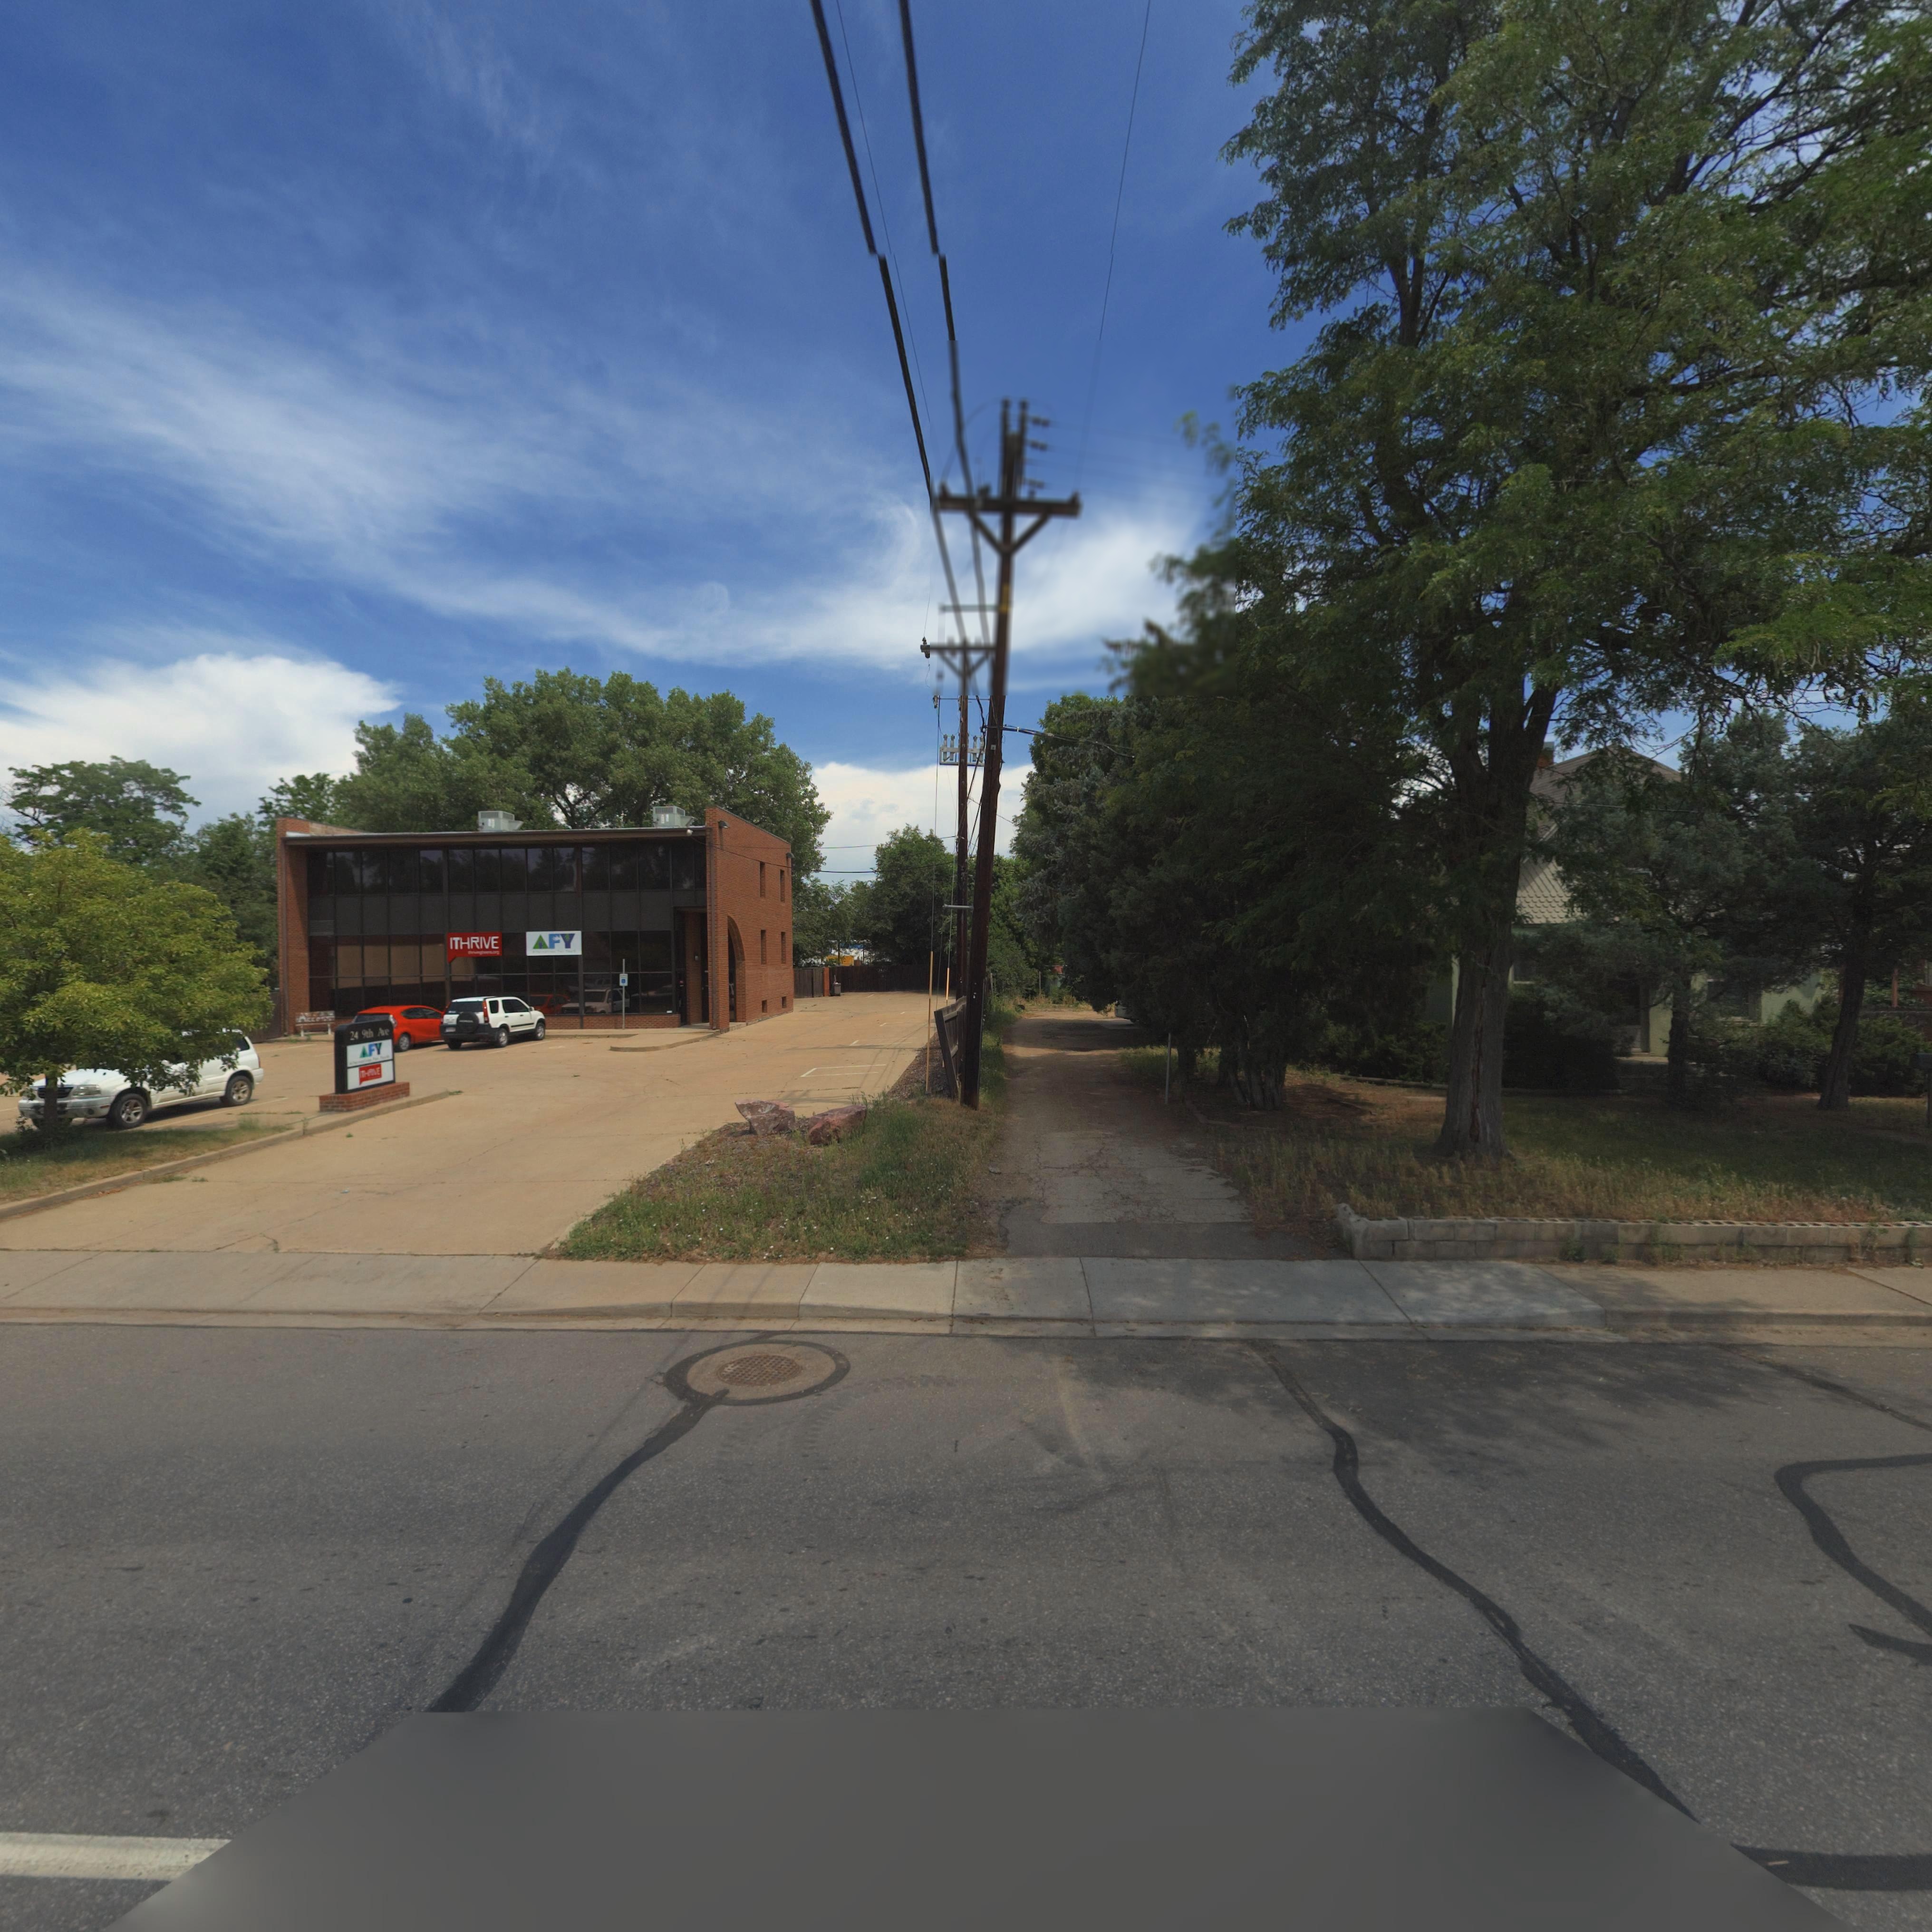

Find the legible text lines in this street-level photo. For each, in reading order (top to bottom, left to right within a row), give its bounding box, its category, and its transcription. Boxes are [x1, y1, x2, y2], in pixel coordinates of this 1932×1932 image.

[449, 936, 499, 950] BusinessName: ITHRIVE
[548, 933, 575, 949] BusinessName: FY
[349, 1030, 358, 1041] StreetNumber: 24
[360, 1027, 389, 1039] StreetName: 9th Ave
[368, 1042, 382, 1056] BusinessName: FY
[359, 1066, 380, 1079] BusinessName: ITHRIVE